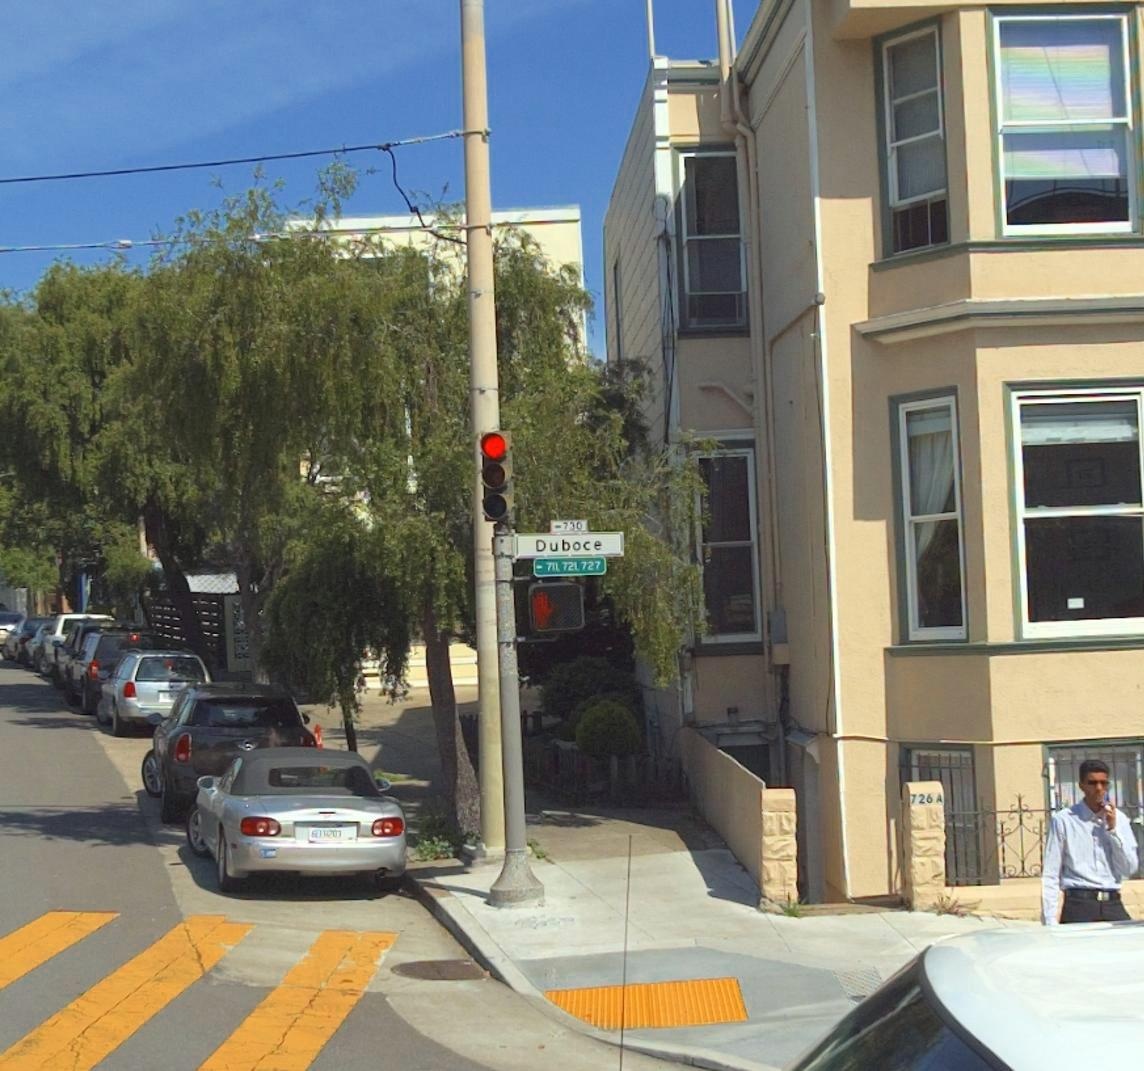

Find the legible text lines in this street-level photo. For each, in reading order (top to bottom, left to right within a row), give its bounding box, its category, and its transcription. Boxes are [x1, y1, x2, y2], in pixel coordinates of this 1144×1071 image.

[551, 520, 584, 531] StreetNumberRange: <-730
[534, 538, 601, 552] StreetName: Duboce
[535, 560, 601, 572] StreetNumber: <-711, 721, 727
[908, 792, 944, 804] StreetNumber: 726A